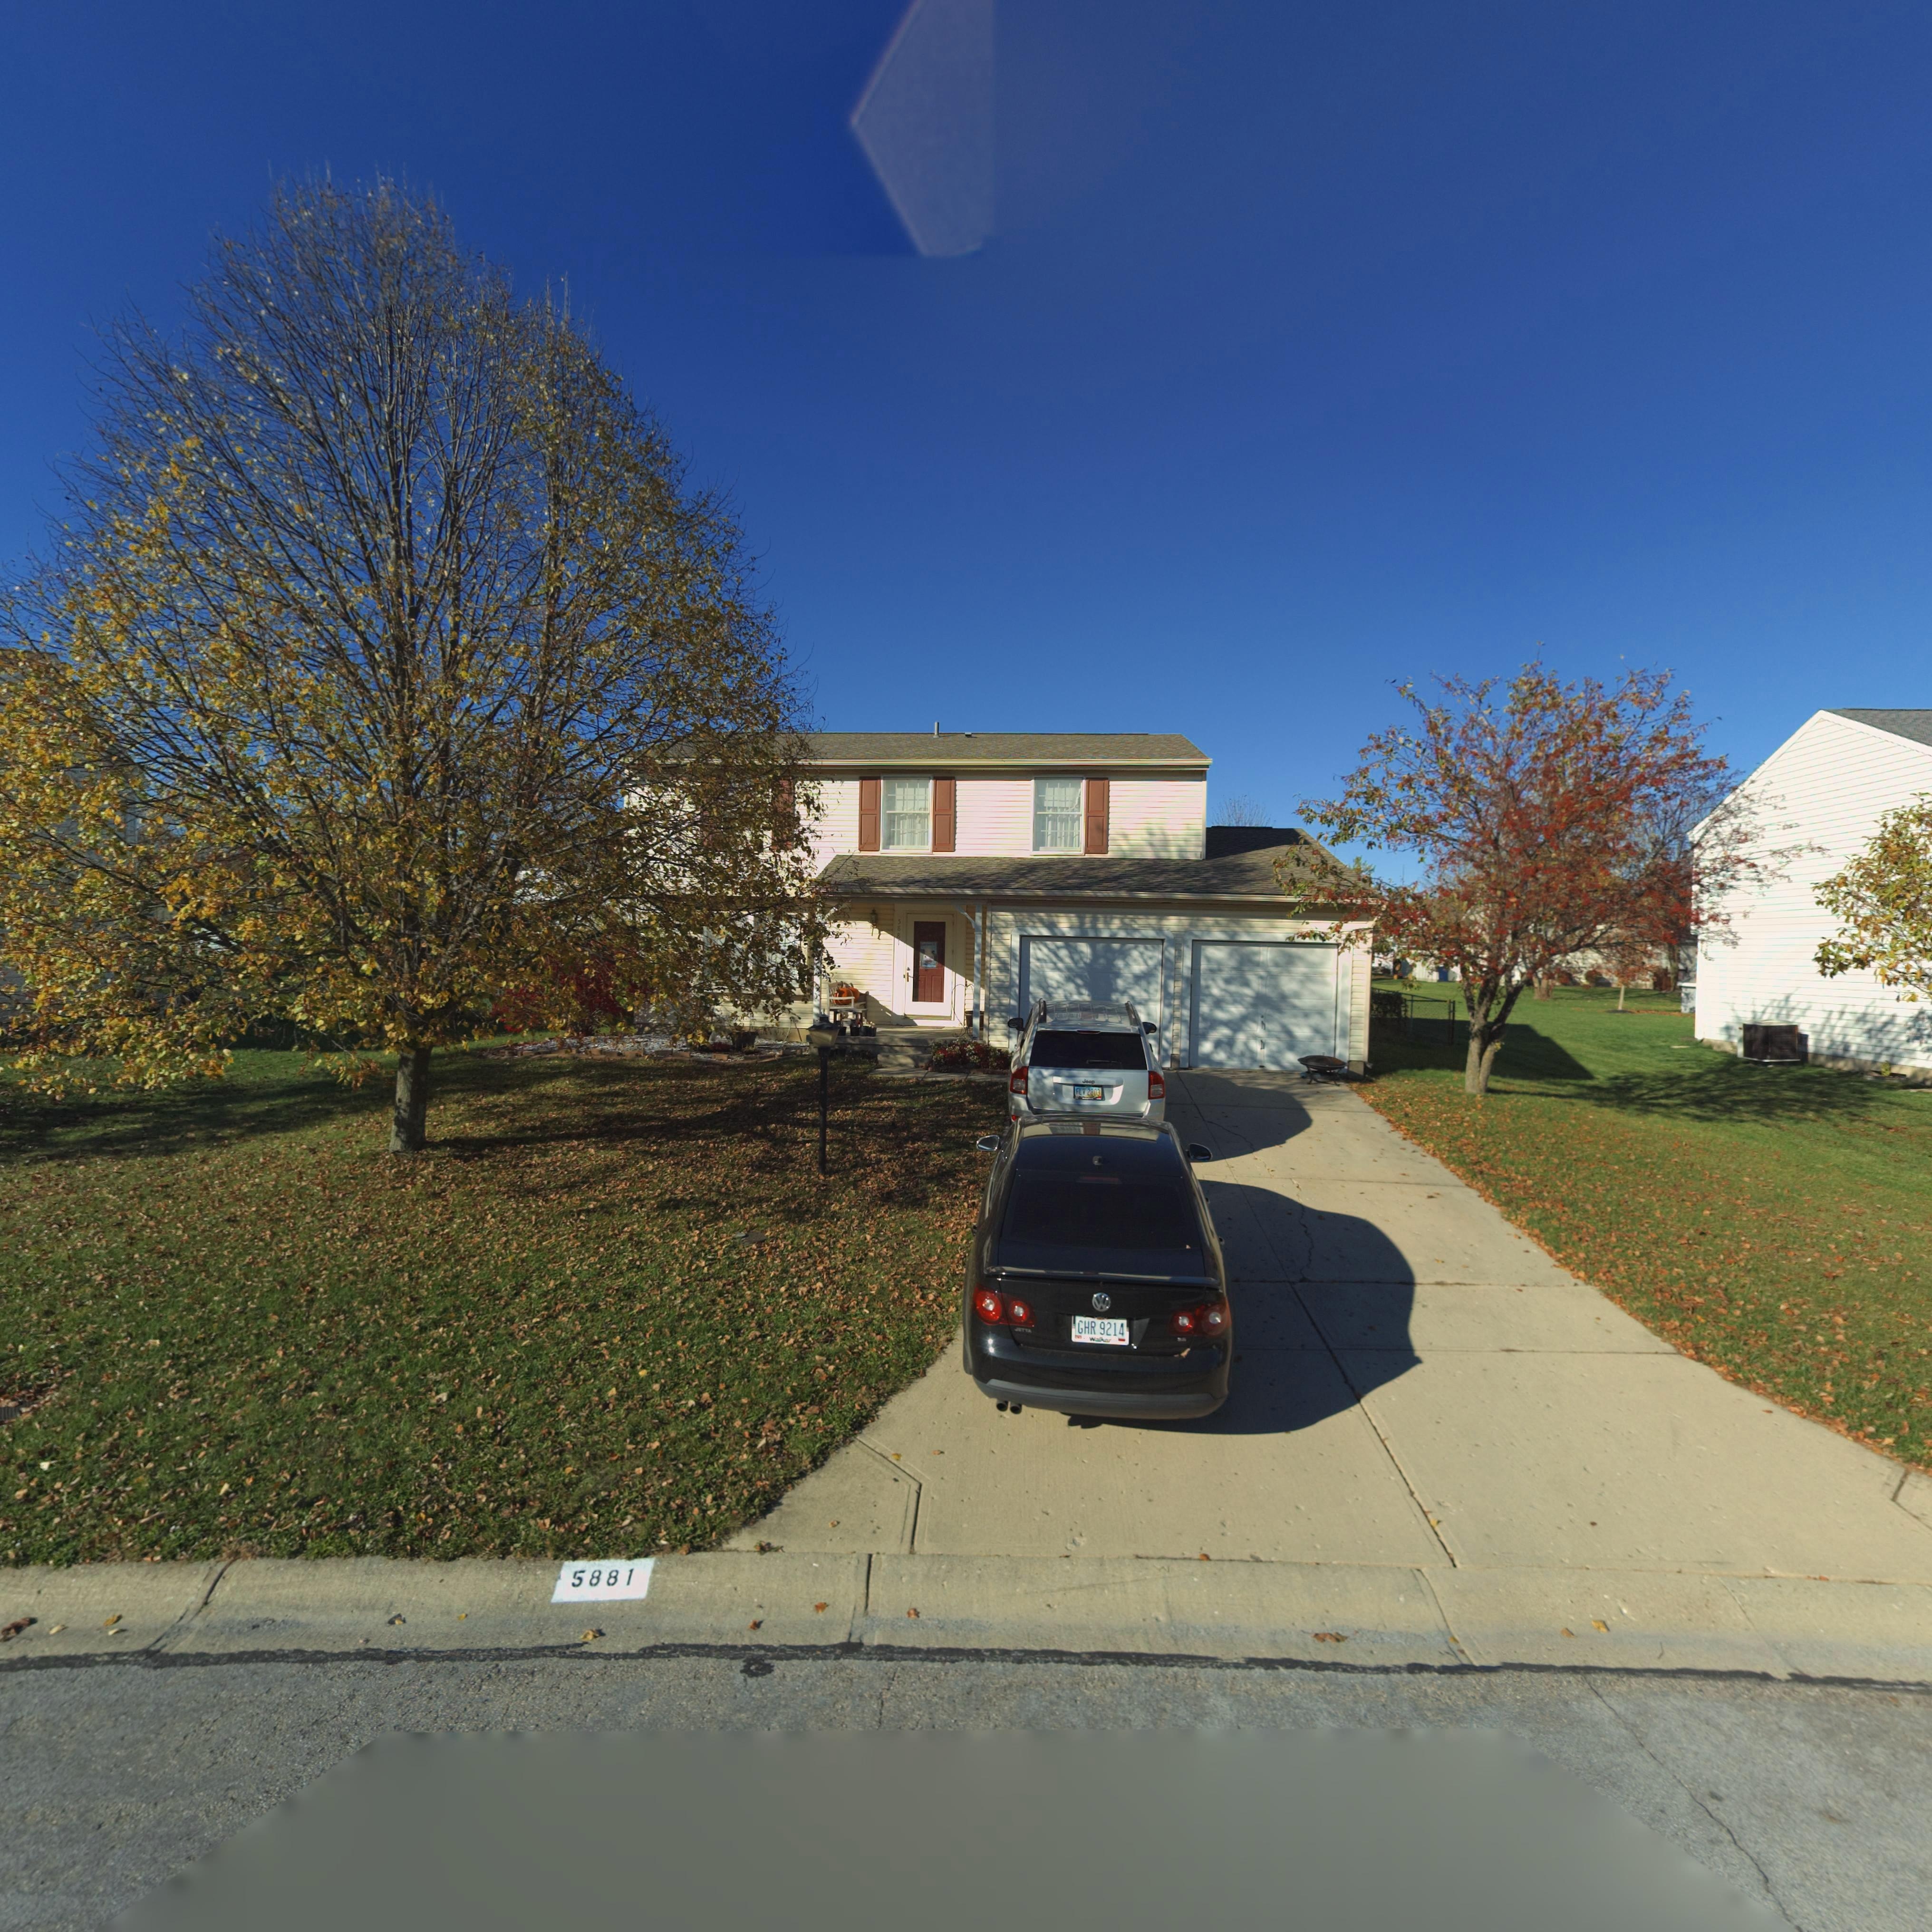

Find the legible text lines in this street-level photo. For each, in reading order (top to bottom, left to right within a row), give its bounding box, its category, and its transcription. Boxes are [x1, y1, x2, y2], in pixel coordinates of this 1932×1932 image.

[896, 918, 902, 947] StreetNumber: 5881
[568, 1566, 637, 1589] StreetNumber: 5881